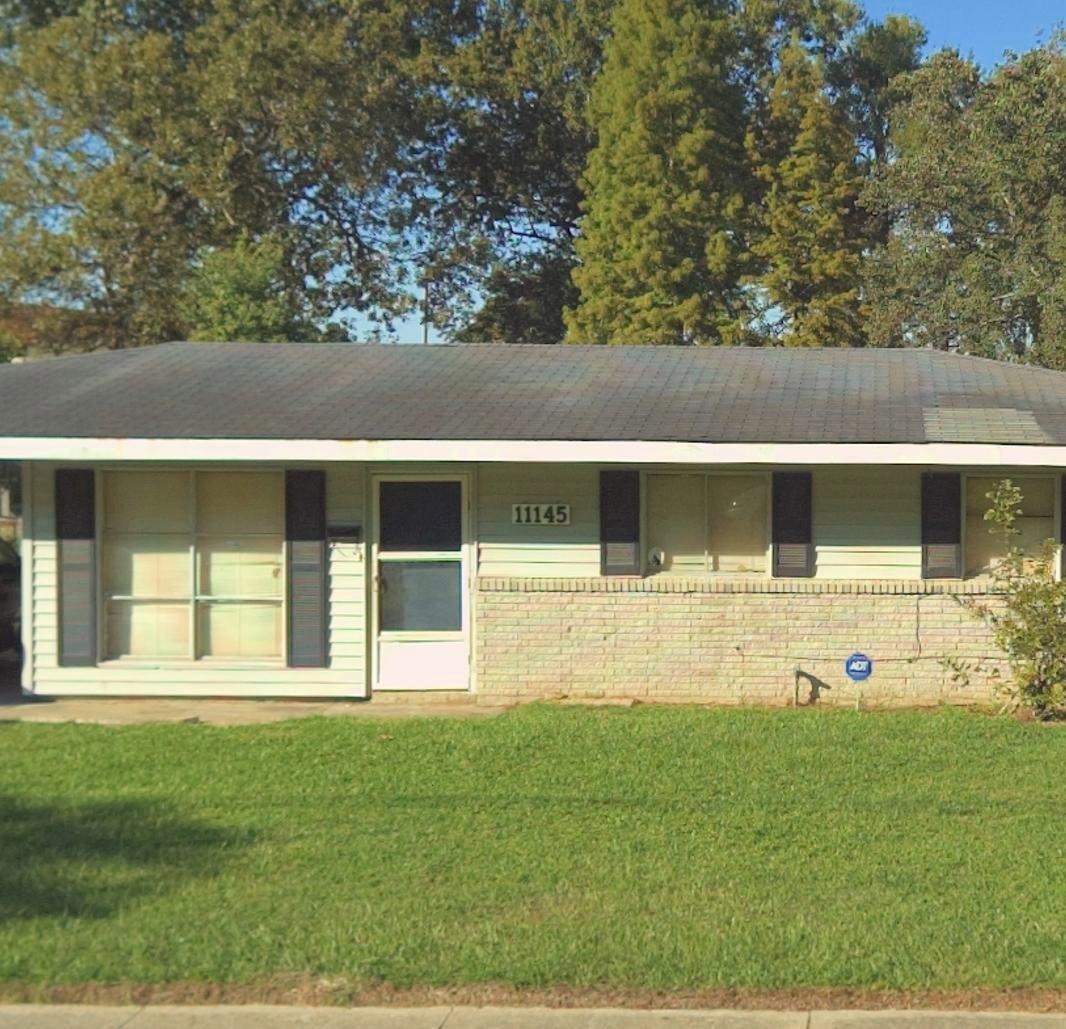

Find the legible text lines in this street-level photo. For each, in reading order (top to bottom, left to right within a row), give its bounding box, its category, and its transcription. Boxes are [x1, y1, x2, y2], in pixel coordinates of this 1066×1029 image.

[513, 505, 568, 524] StreetNumber: 11145
[847, 660, 869, 673] None: ADT